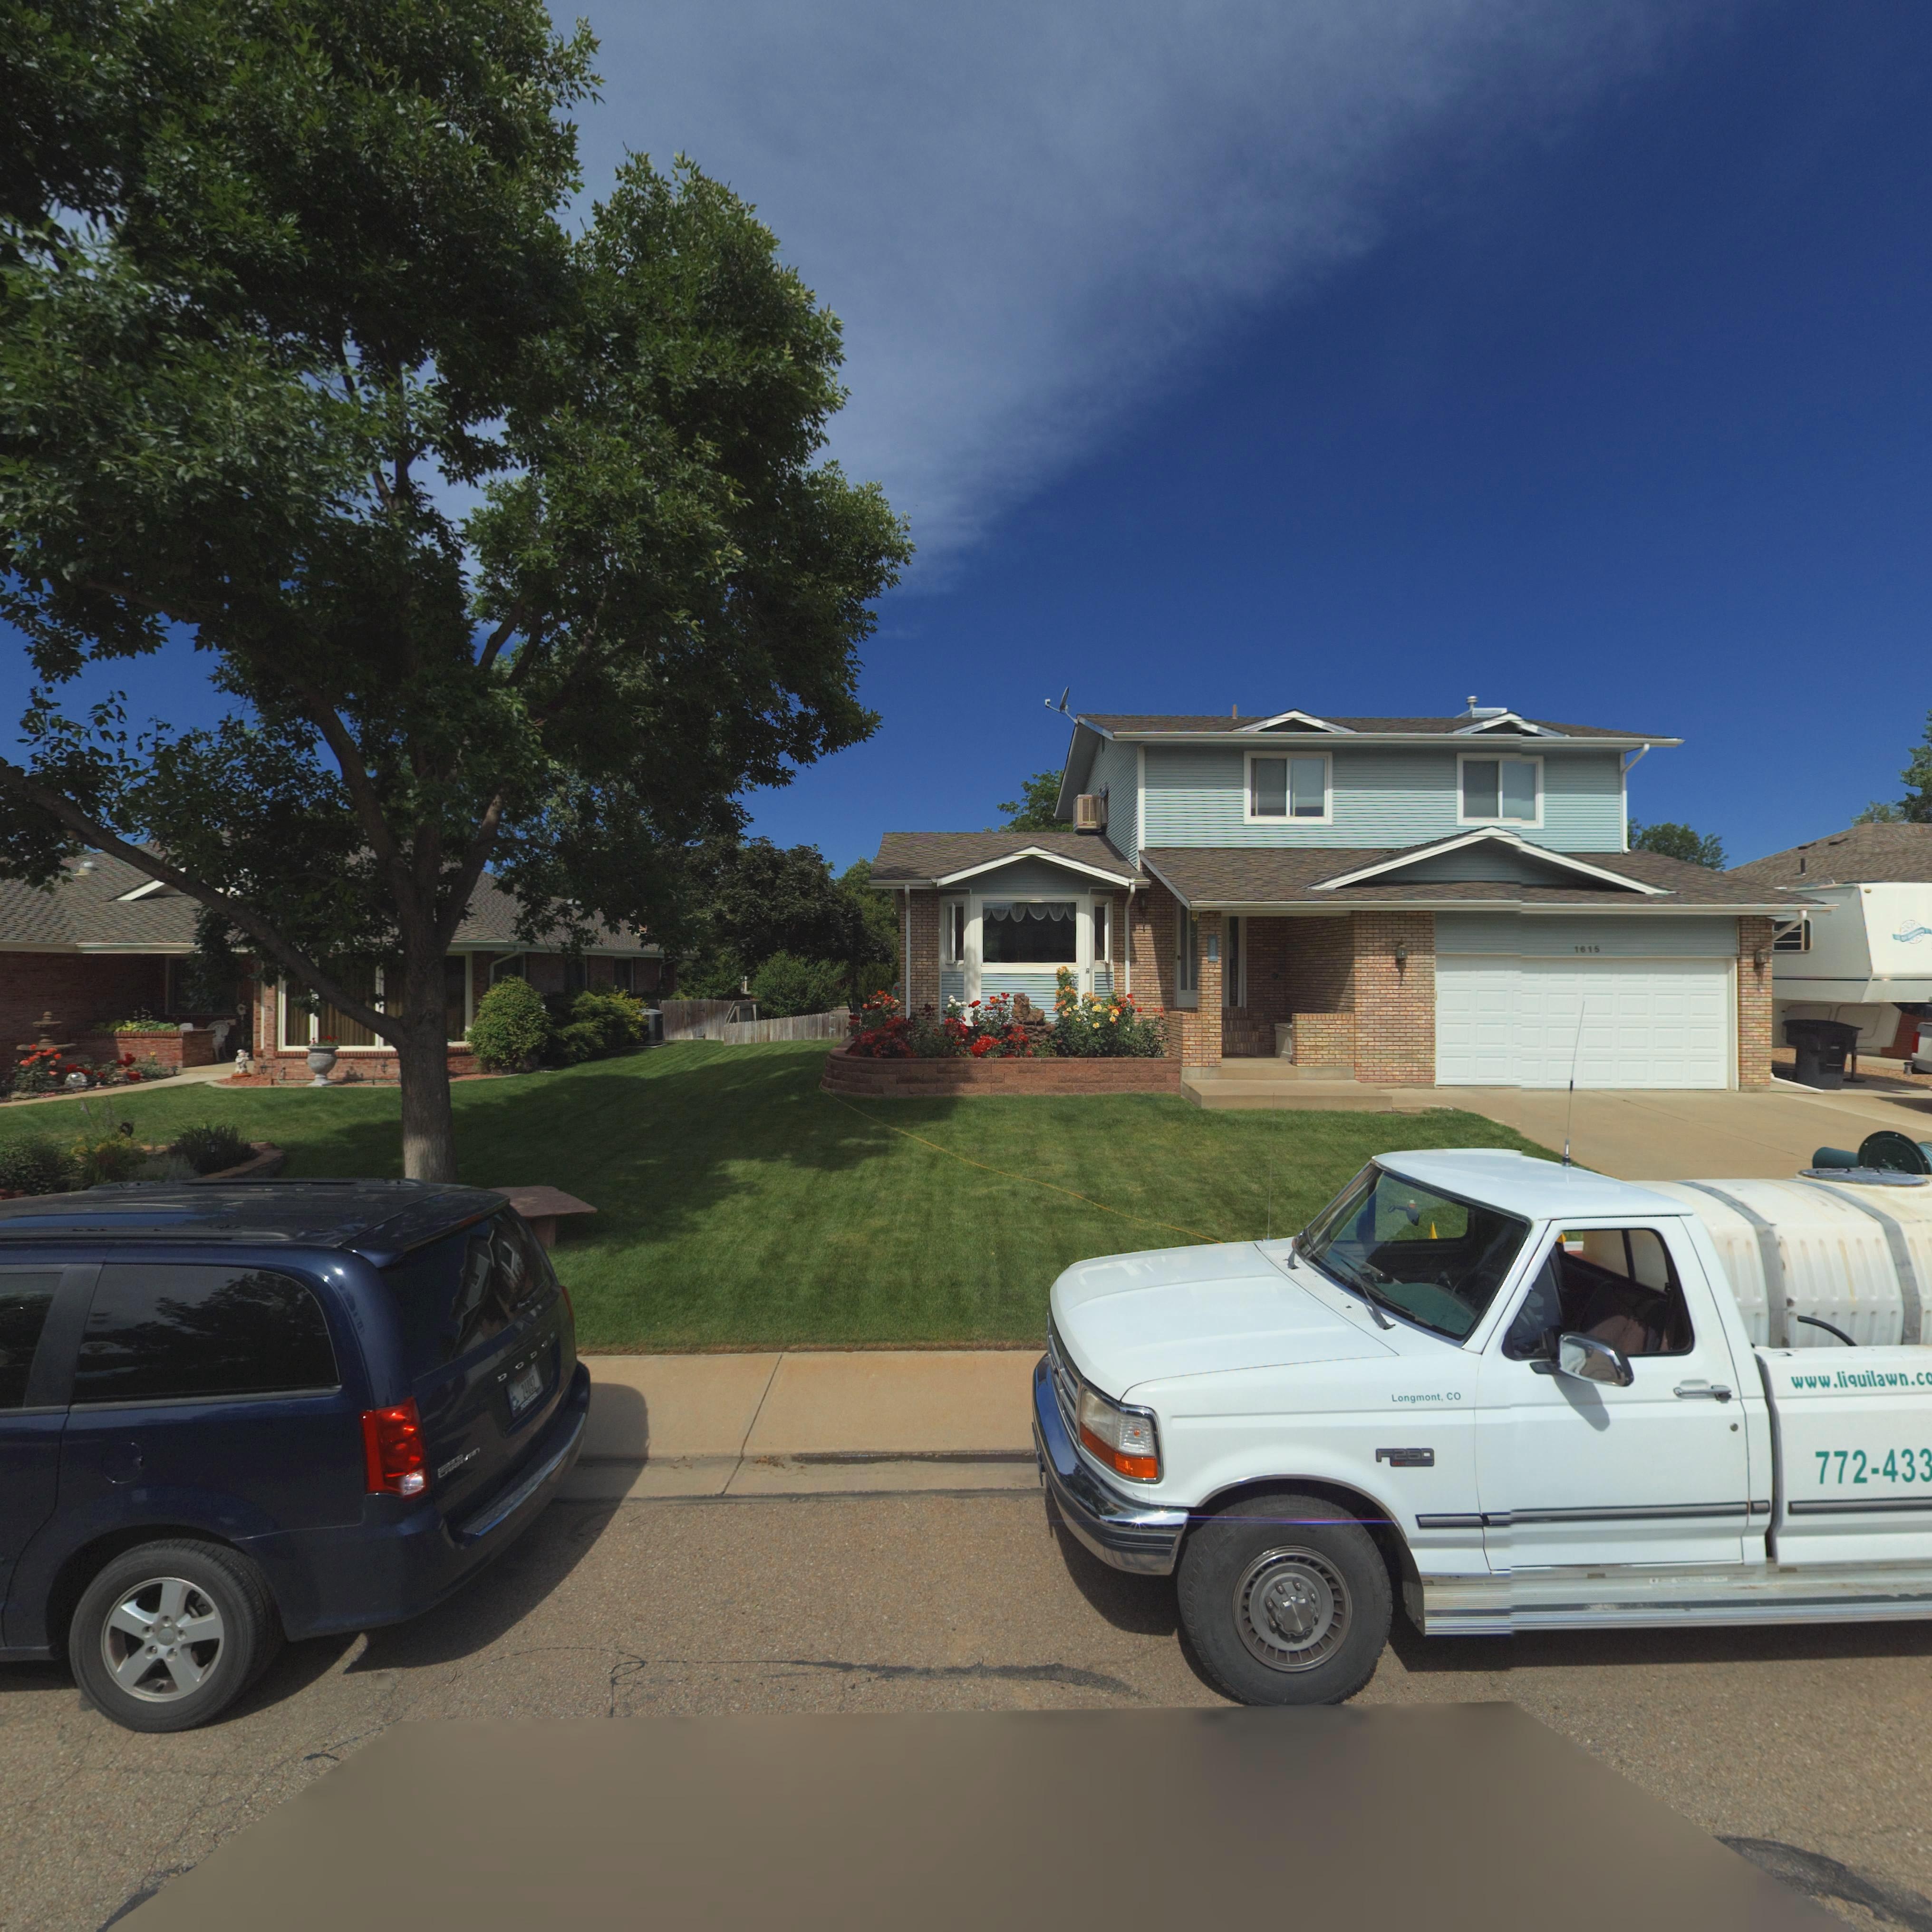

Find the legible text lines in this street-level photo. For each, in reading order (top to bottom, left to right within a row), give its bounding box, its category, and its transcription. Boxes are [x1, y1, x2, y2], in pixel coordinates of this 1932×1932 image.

[1574, 945, 1600, 953] StreetNumber: 1615